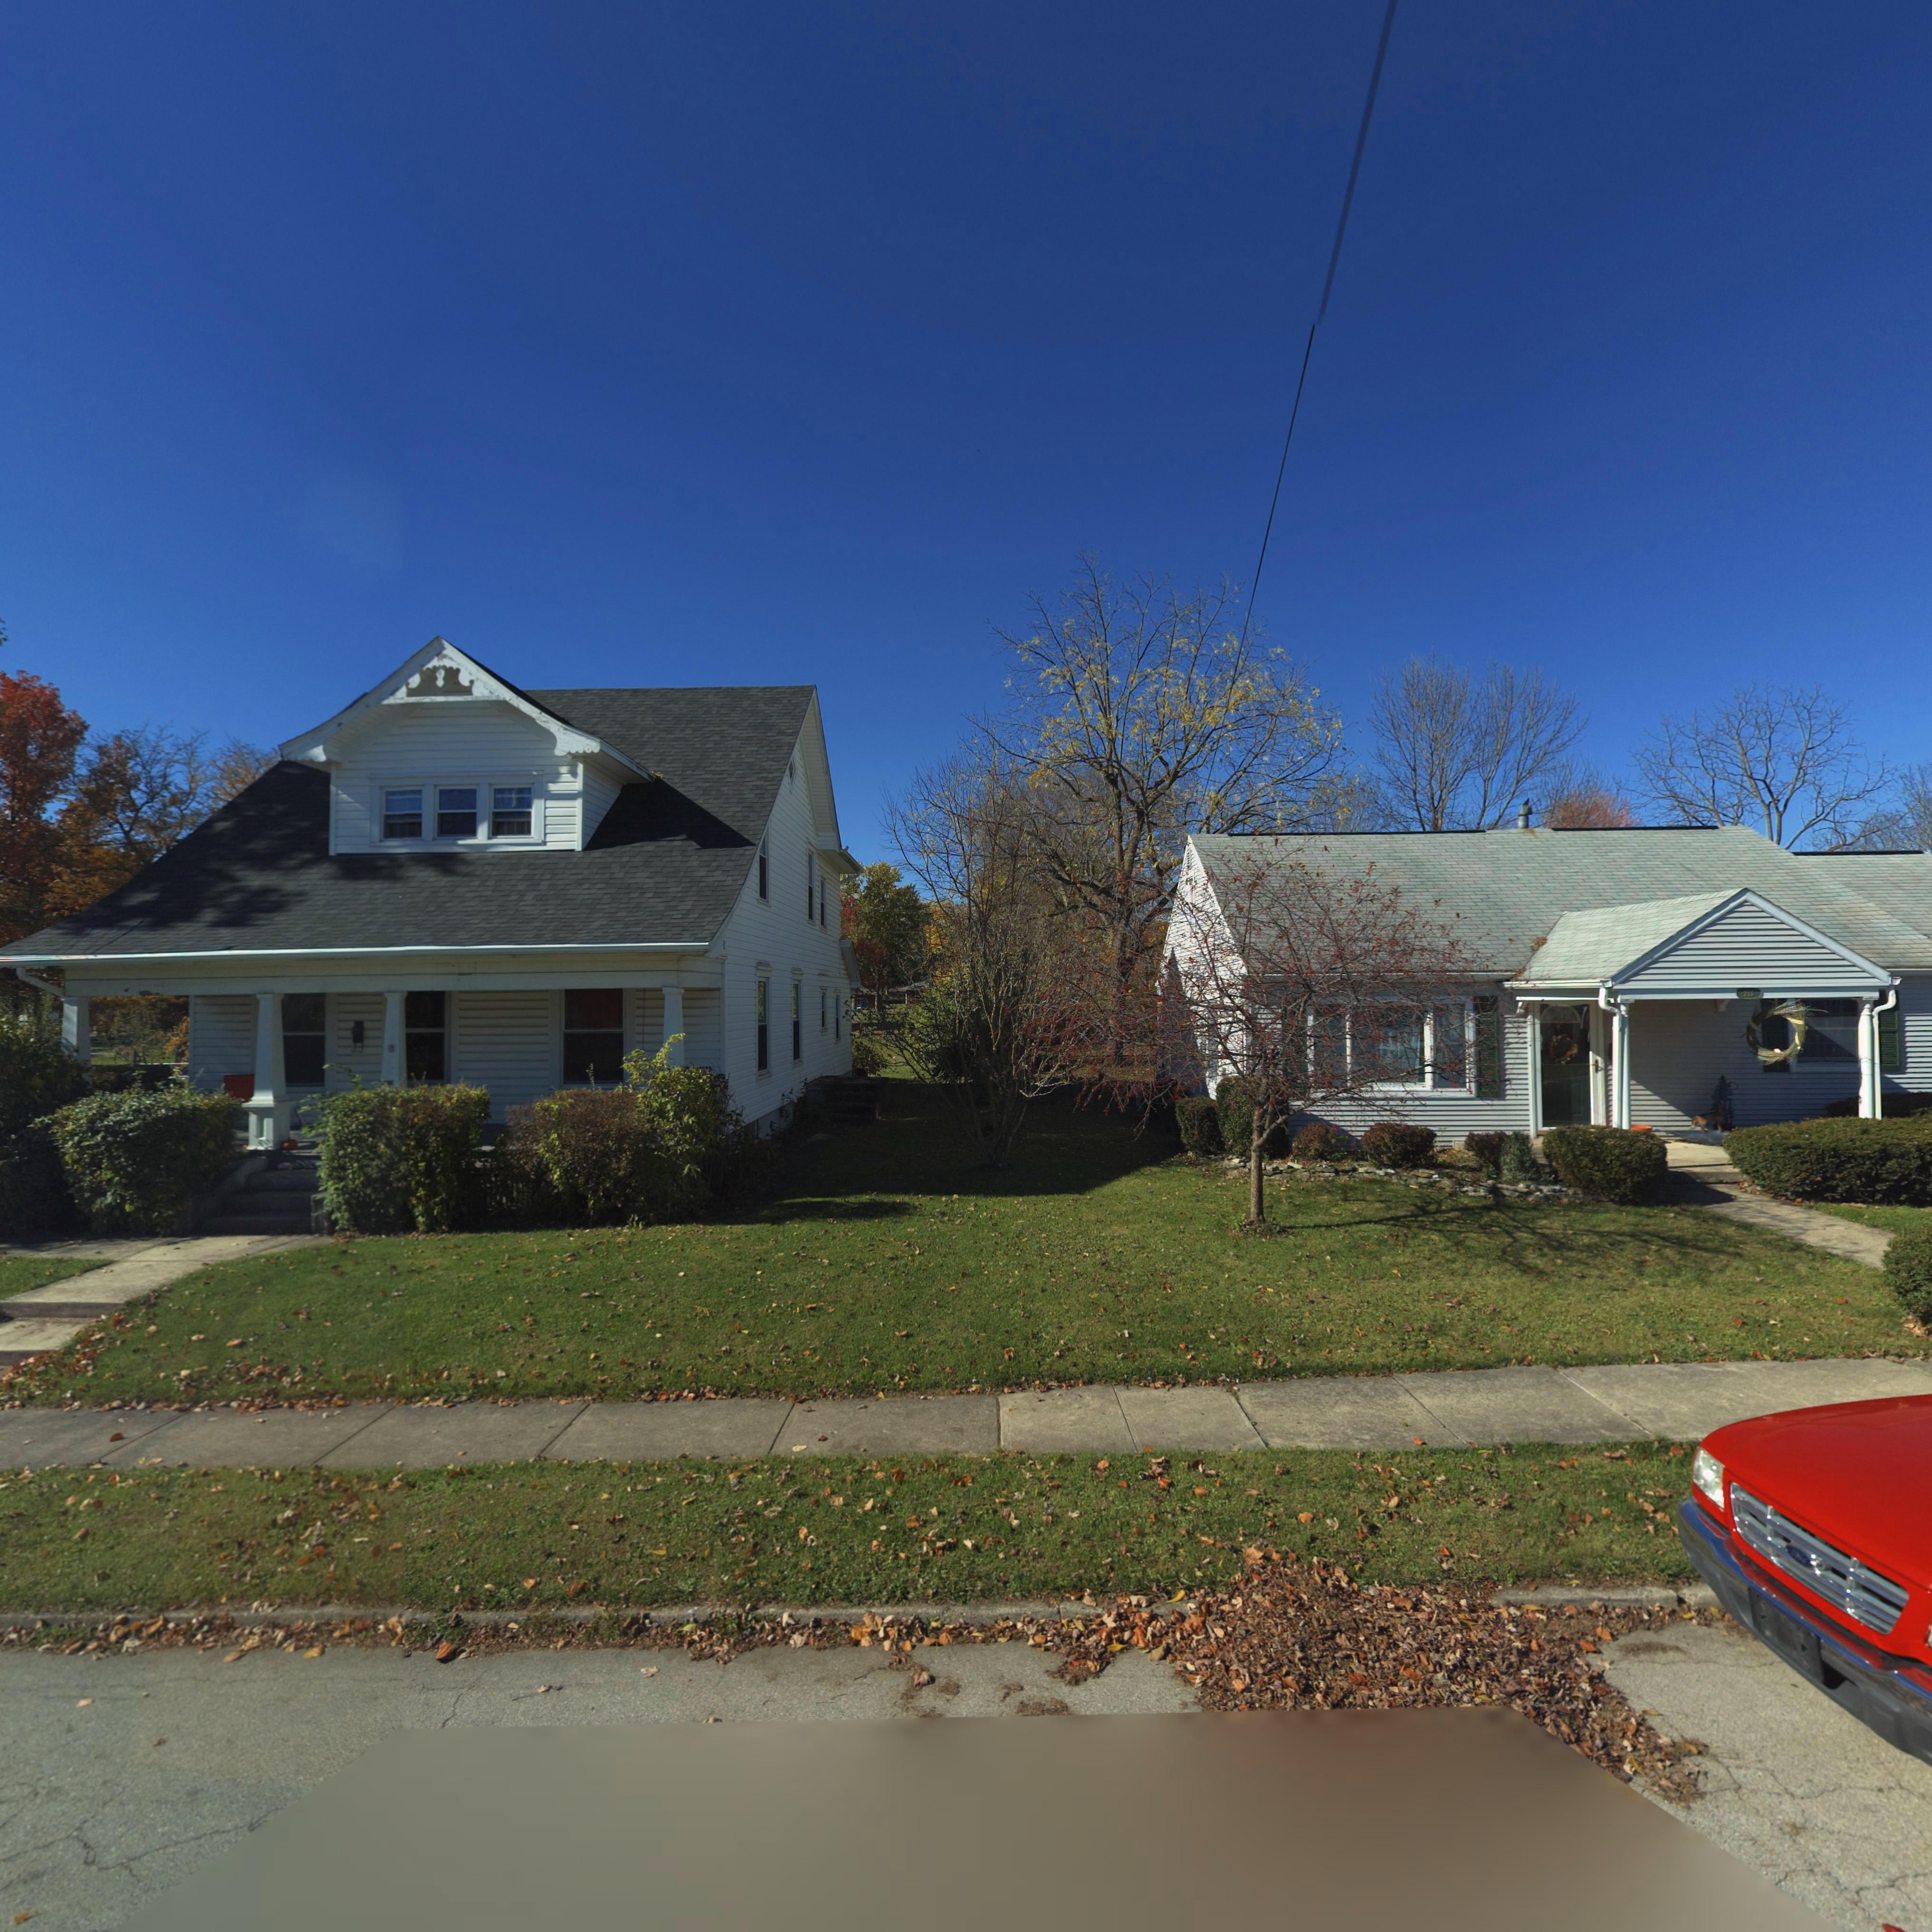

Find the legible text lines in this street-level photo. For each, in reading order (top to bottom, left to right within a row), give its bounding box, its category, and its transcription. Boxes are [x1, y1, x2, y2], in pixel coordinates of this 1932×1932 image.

[1743, 991, 1754, 997] StreetNumber: 21*